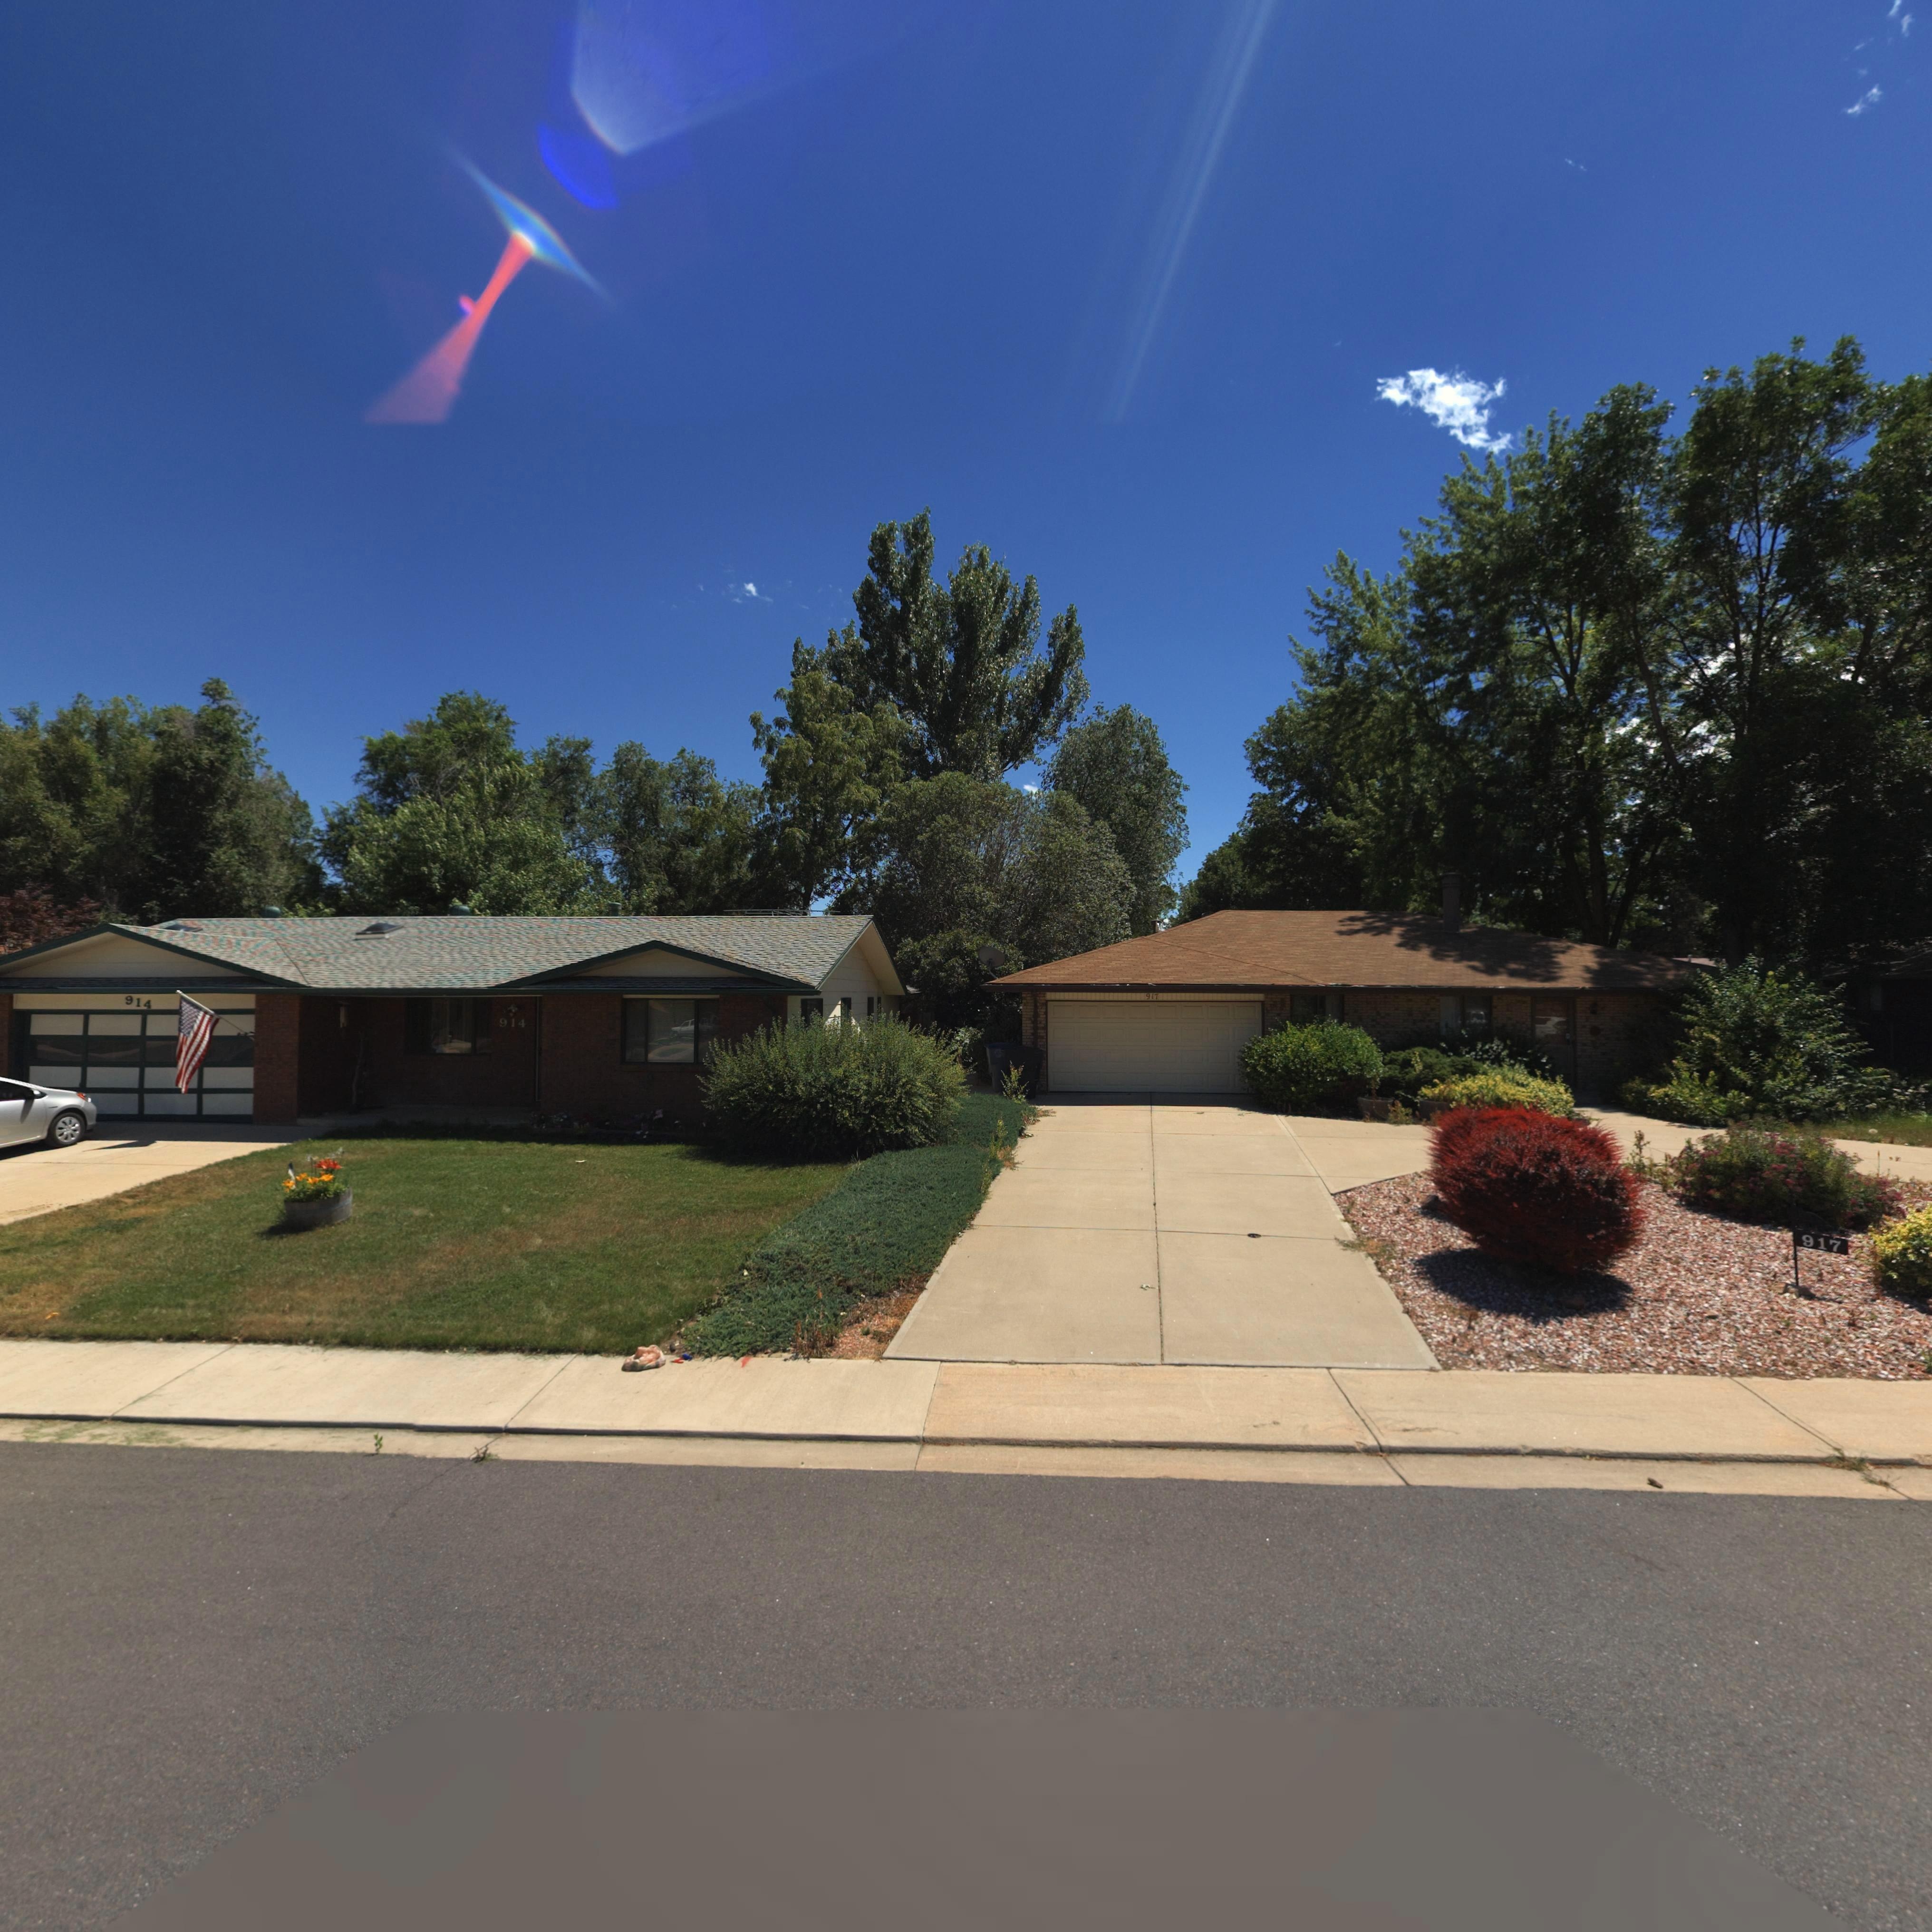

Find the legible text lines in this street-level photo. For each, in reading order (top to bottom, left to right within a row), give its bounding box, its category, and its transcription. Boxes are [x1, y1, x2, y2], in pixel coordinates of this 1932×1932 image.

[124, 995, 152, 1009] StreetNumber: 914
[1146, 993, 1158, 999] StreetNumber: 917
[499, 1018, 526, 1028] StreetNumber: 914
[1801, 1235, 1841, 1252] StreetNumber: 917